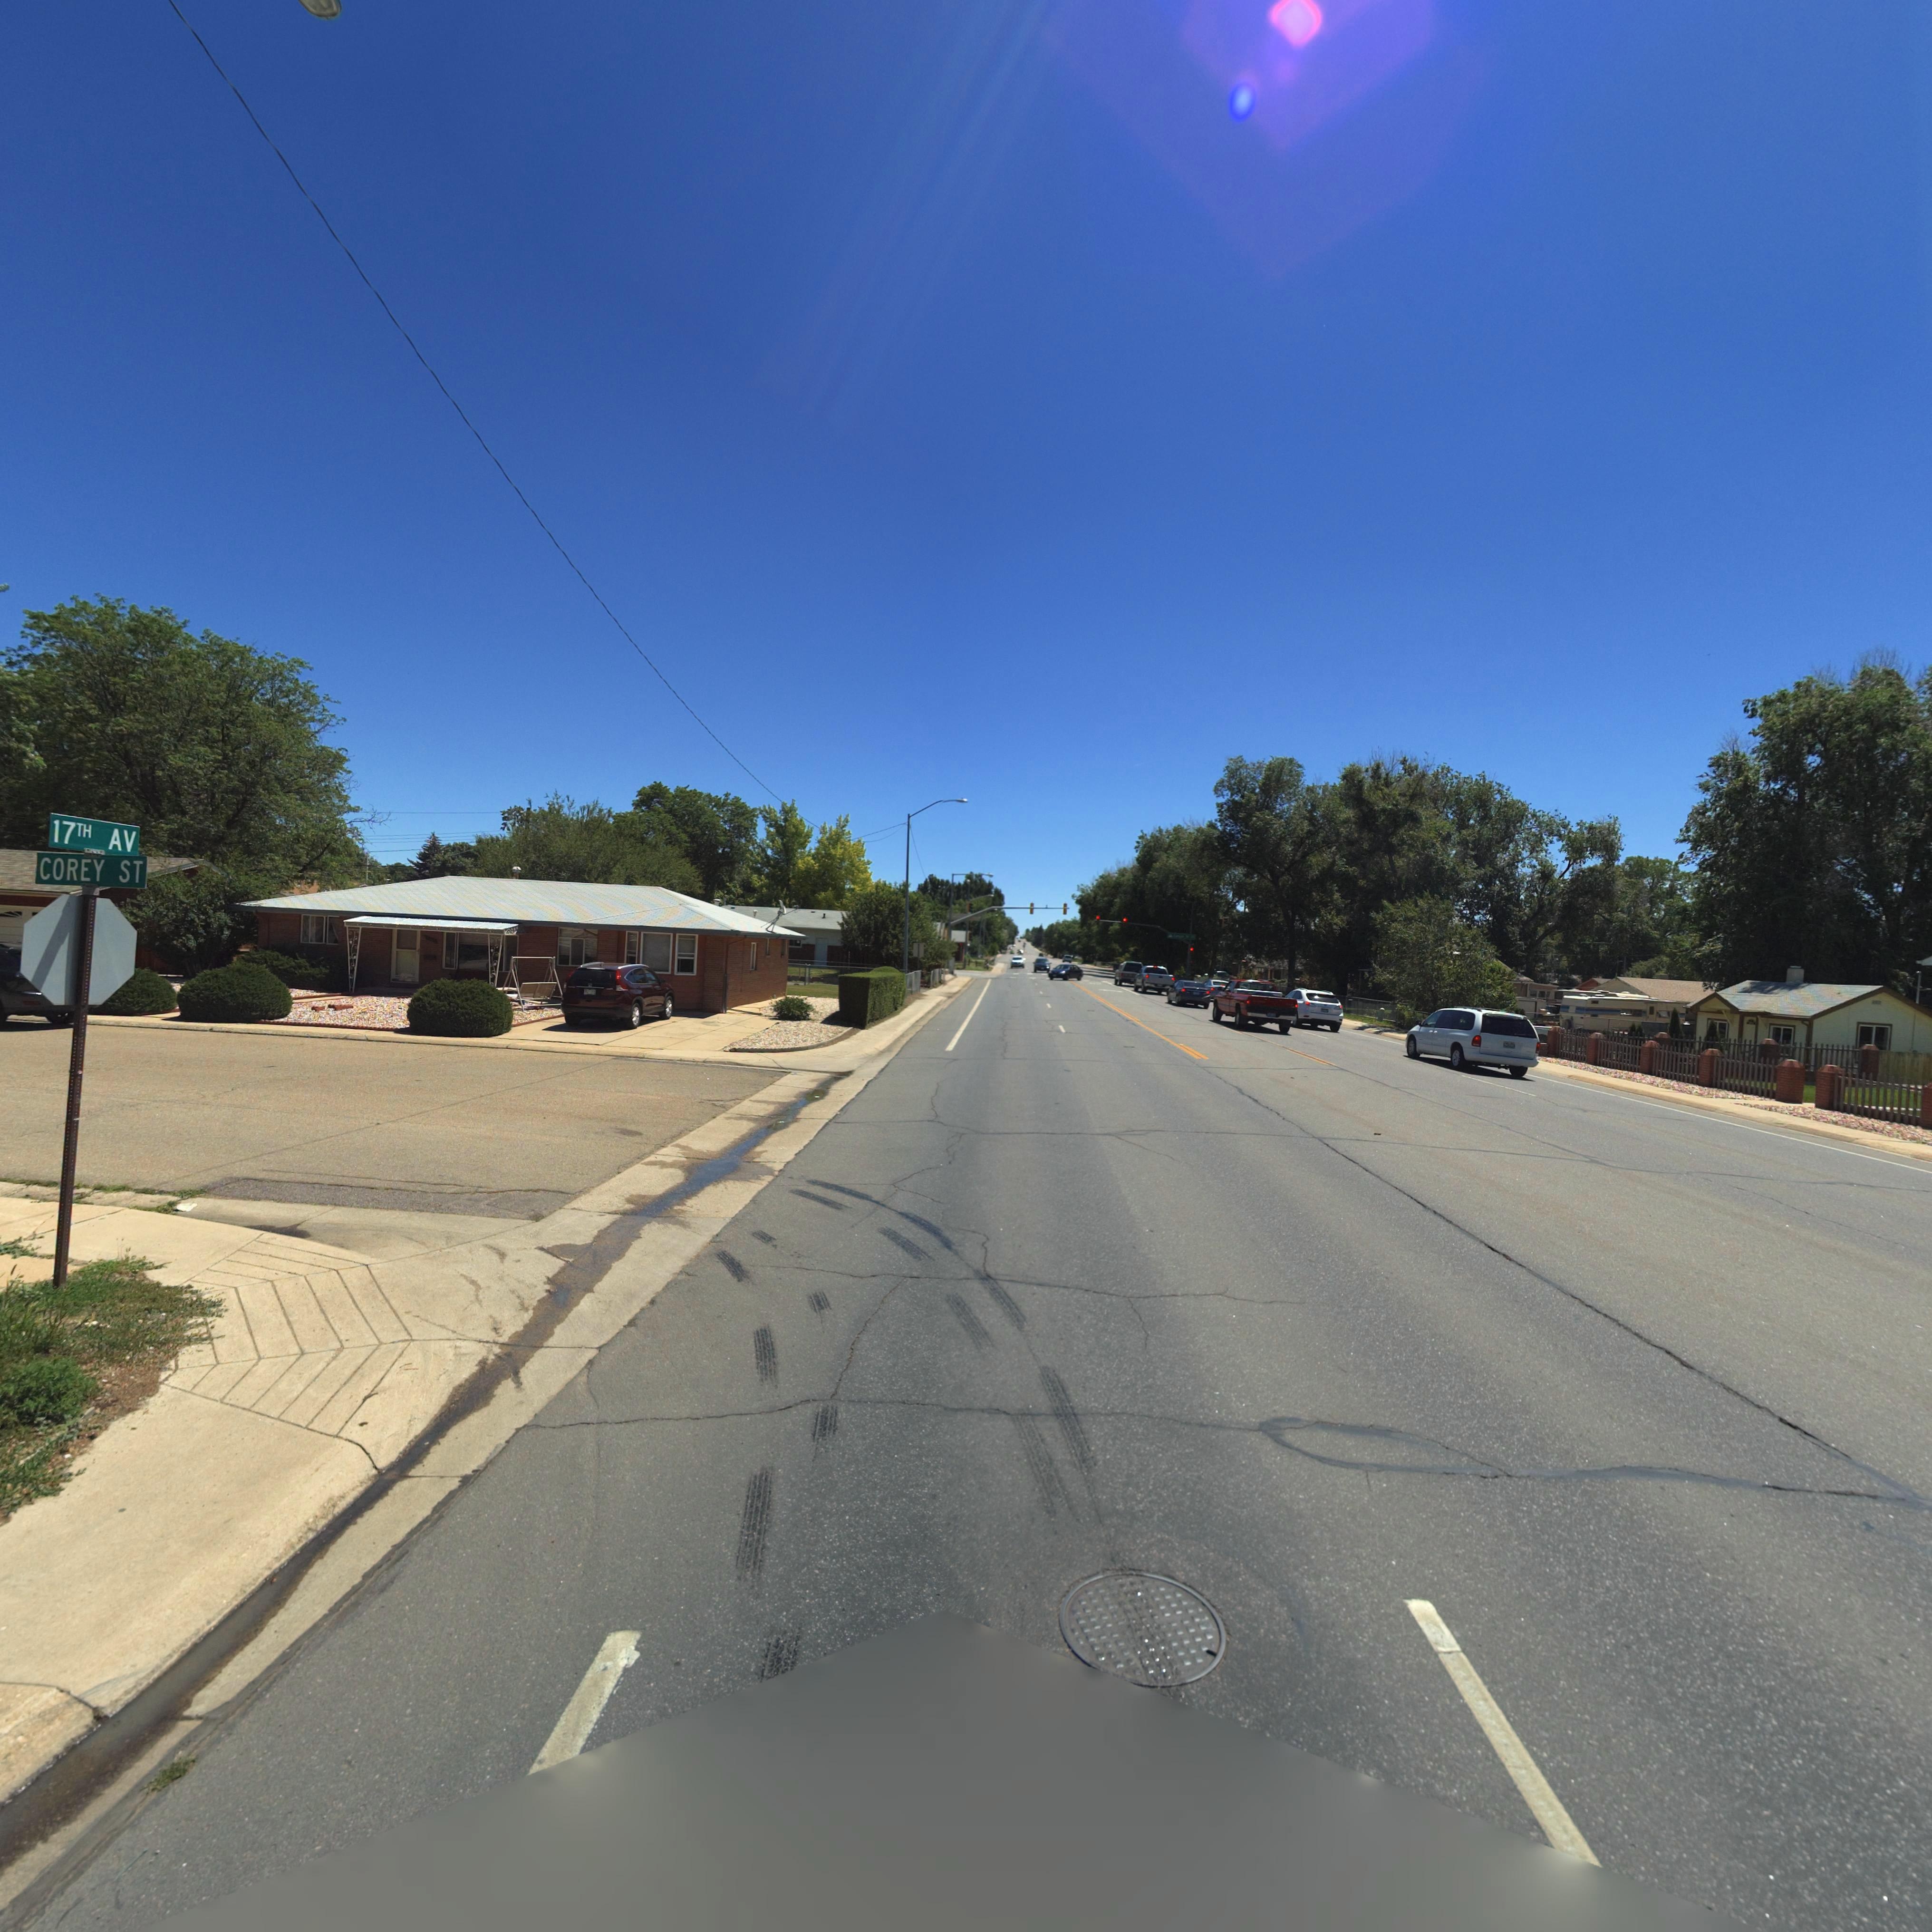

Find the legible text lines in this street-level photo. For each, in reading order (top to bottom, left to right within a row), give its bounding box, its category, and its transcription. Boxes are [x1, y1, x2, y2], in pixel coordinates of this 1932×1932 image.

[52, 819, 137, 852] StreetName: 17TH AV
[39, 857, 143, 883] StreetName: COREY ST